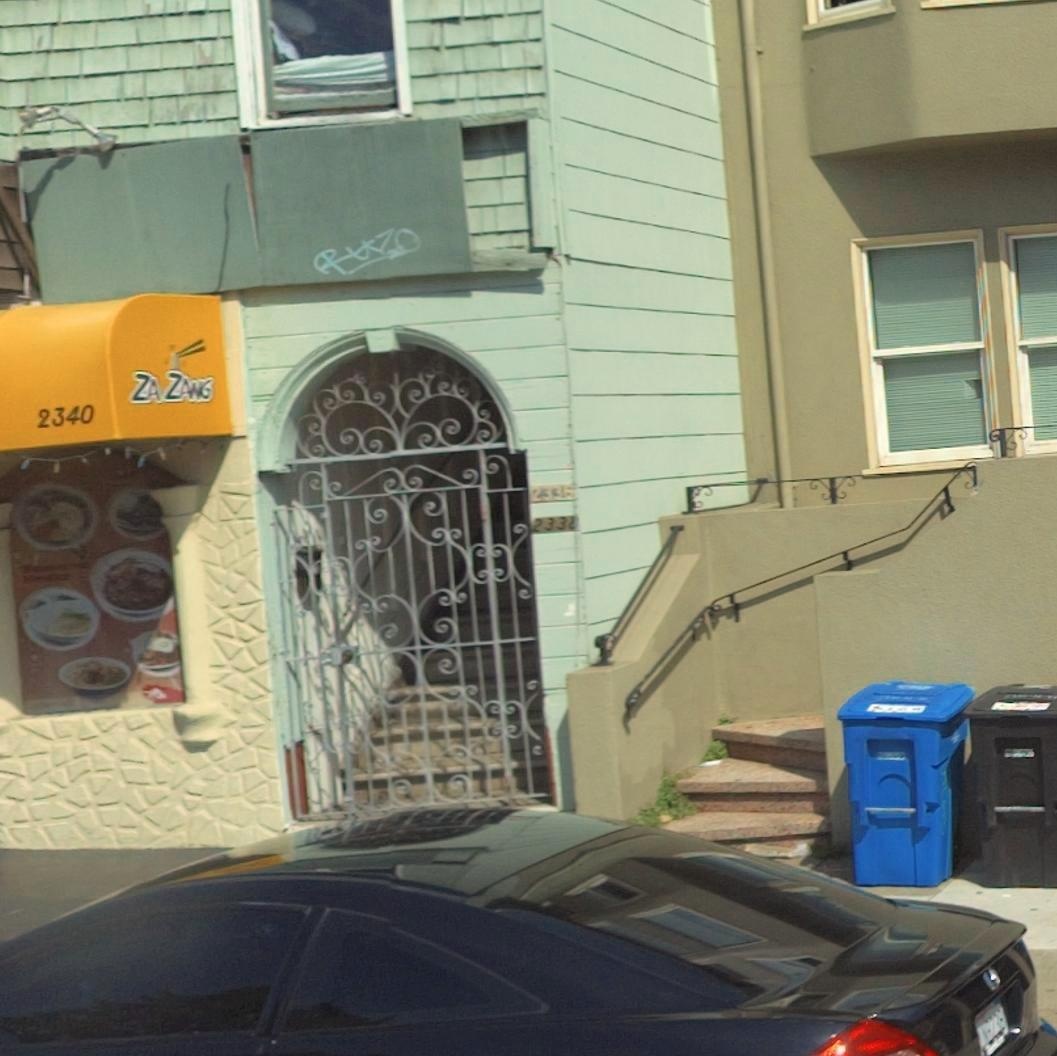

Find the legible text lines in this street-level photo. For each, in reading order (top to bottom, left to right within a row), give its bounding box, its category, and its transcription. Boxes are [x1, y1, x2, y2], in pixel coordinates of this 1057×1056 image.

[124, 369, 218, 406] BusinessName: ZA ZANG
[32, 403, 97, 430] StreetNumber: 2340
[530, 516, 579, 533] StreetNumber: 2338